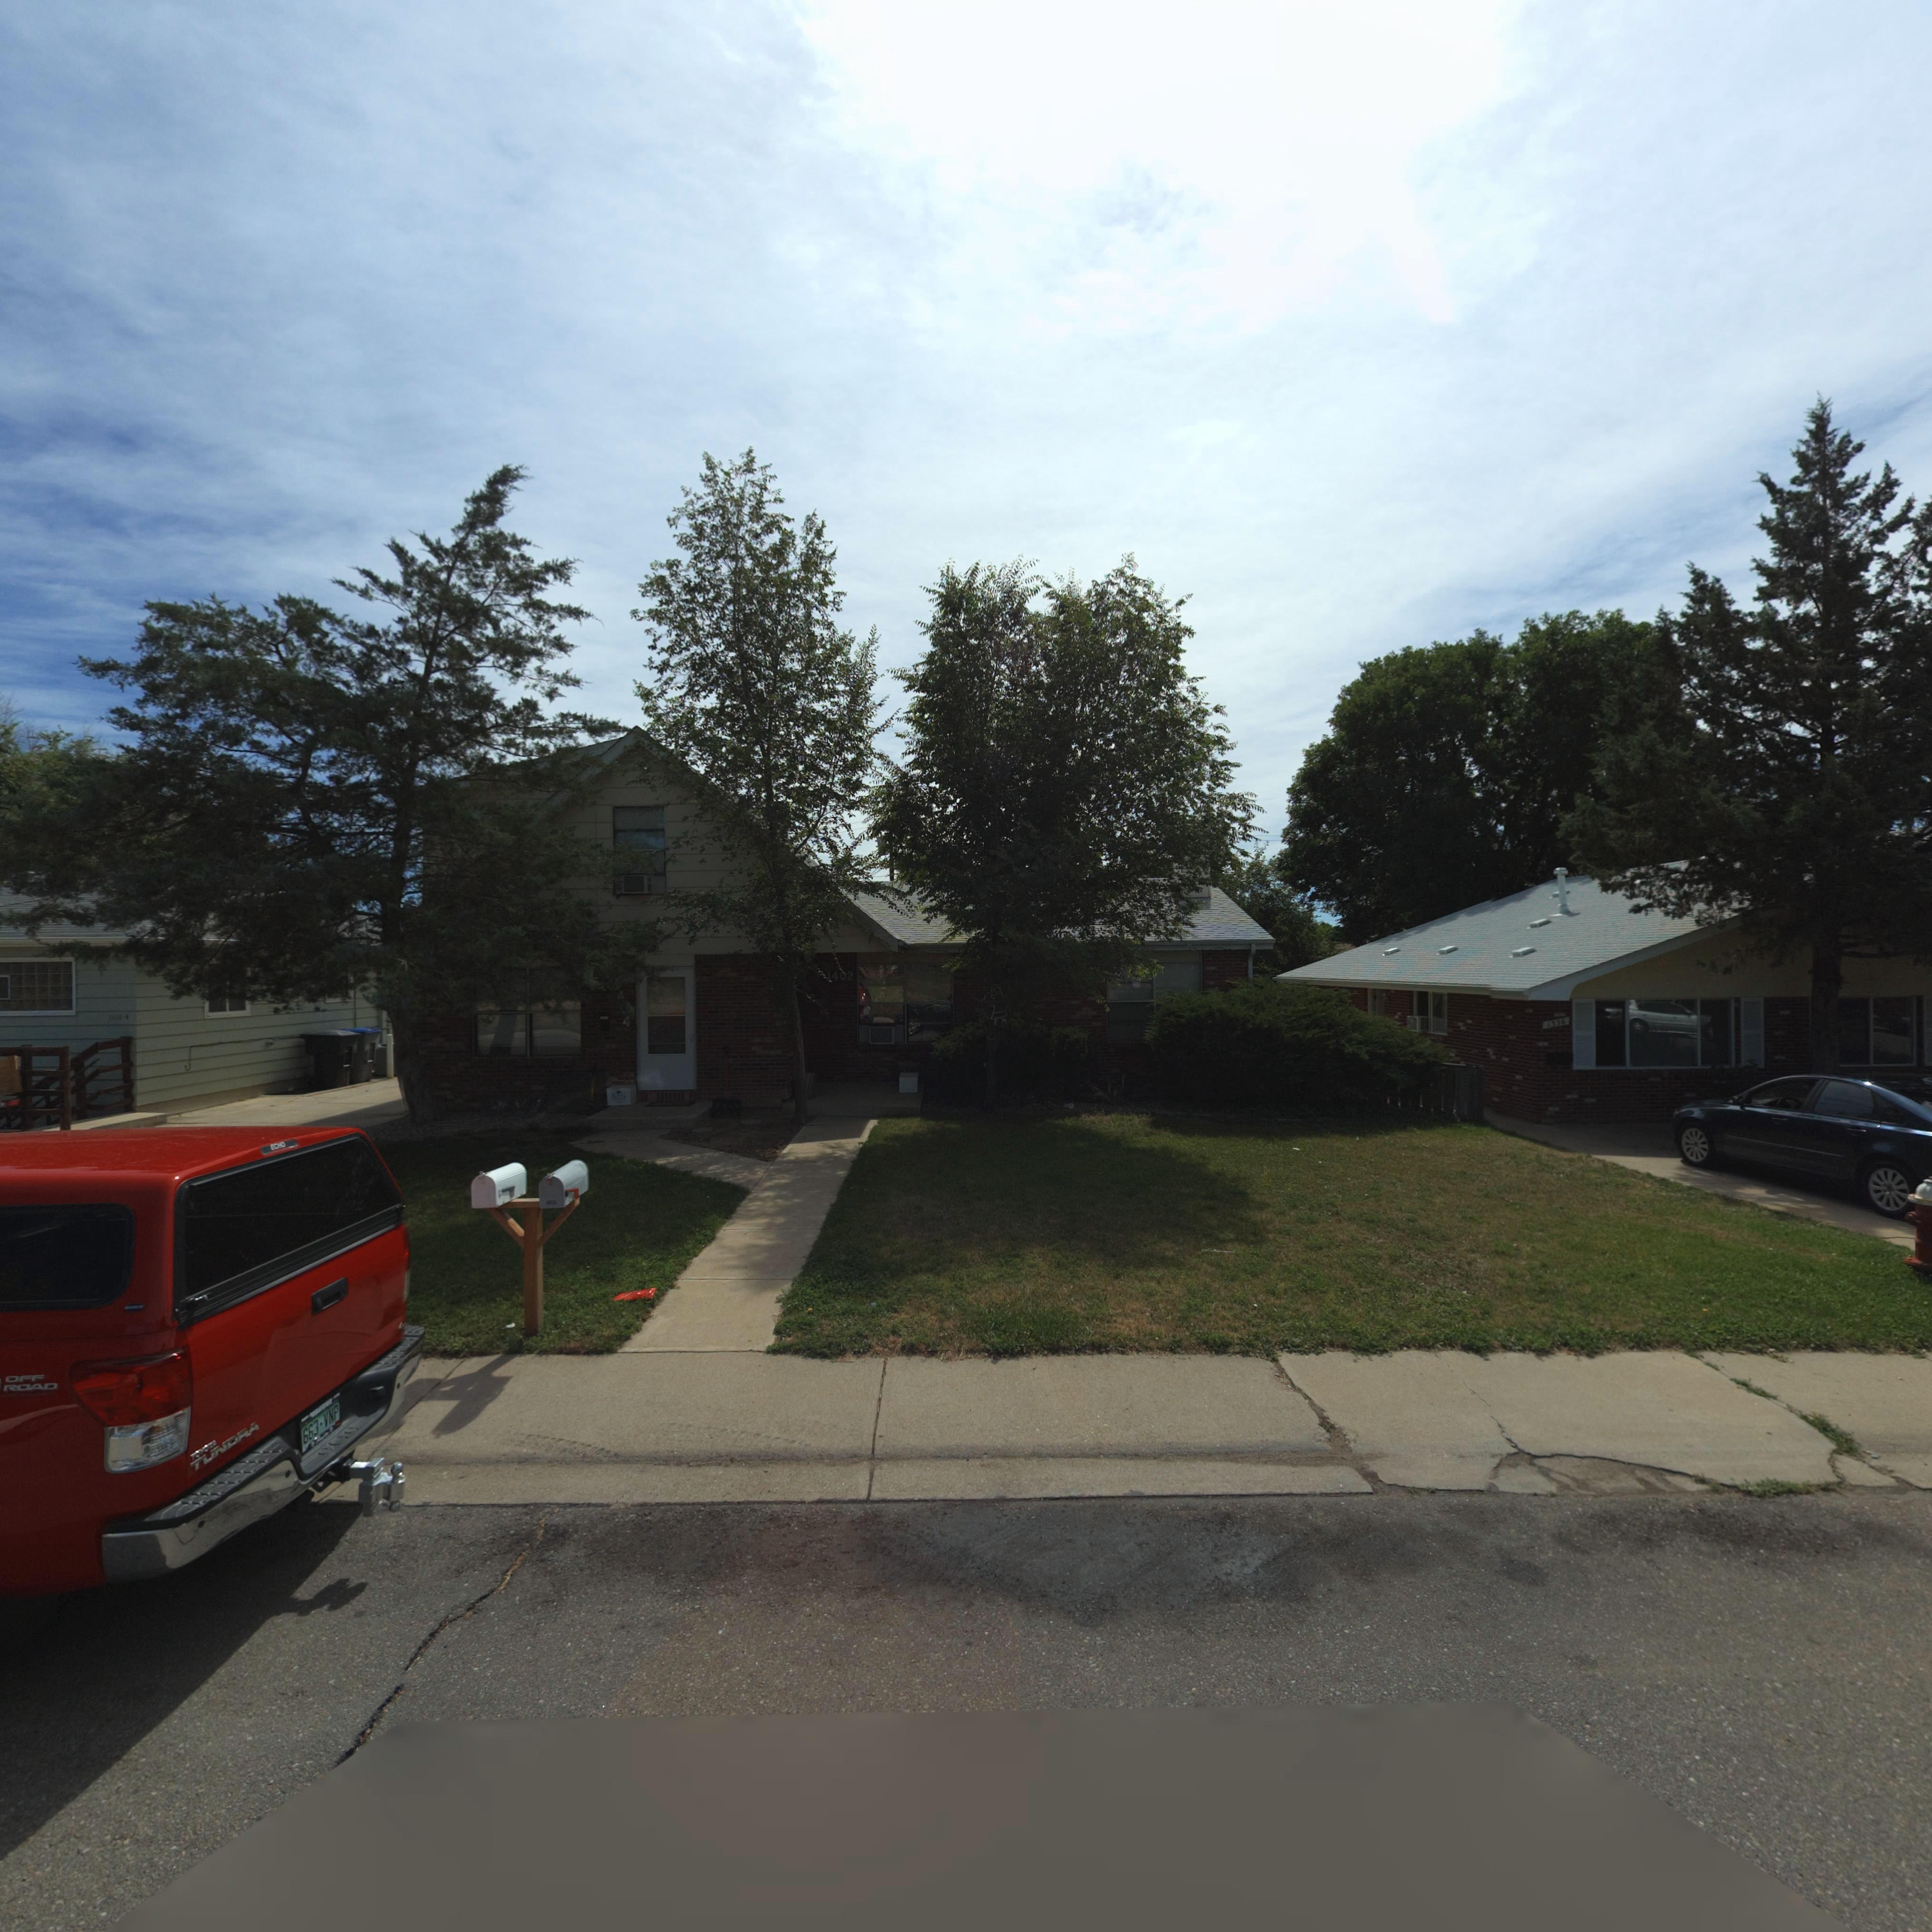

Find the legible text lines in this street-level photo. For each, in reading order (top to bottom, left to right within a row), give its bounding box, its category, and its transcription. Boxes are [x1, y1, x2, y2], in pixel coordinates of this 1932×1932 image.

[827, 970, 853, 981] StreetNumber: 1402
[1547, 1018, 1566, 1028] StreetNumber: 1356